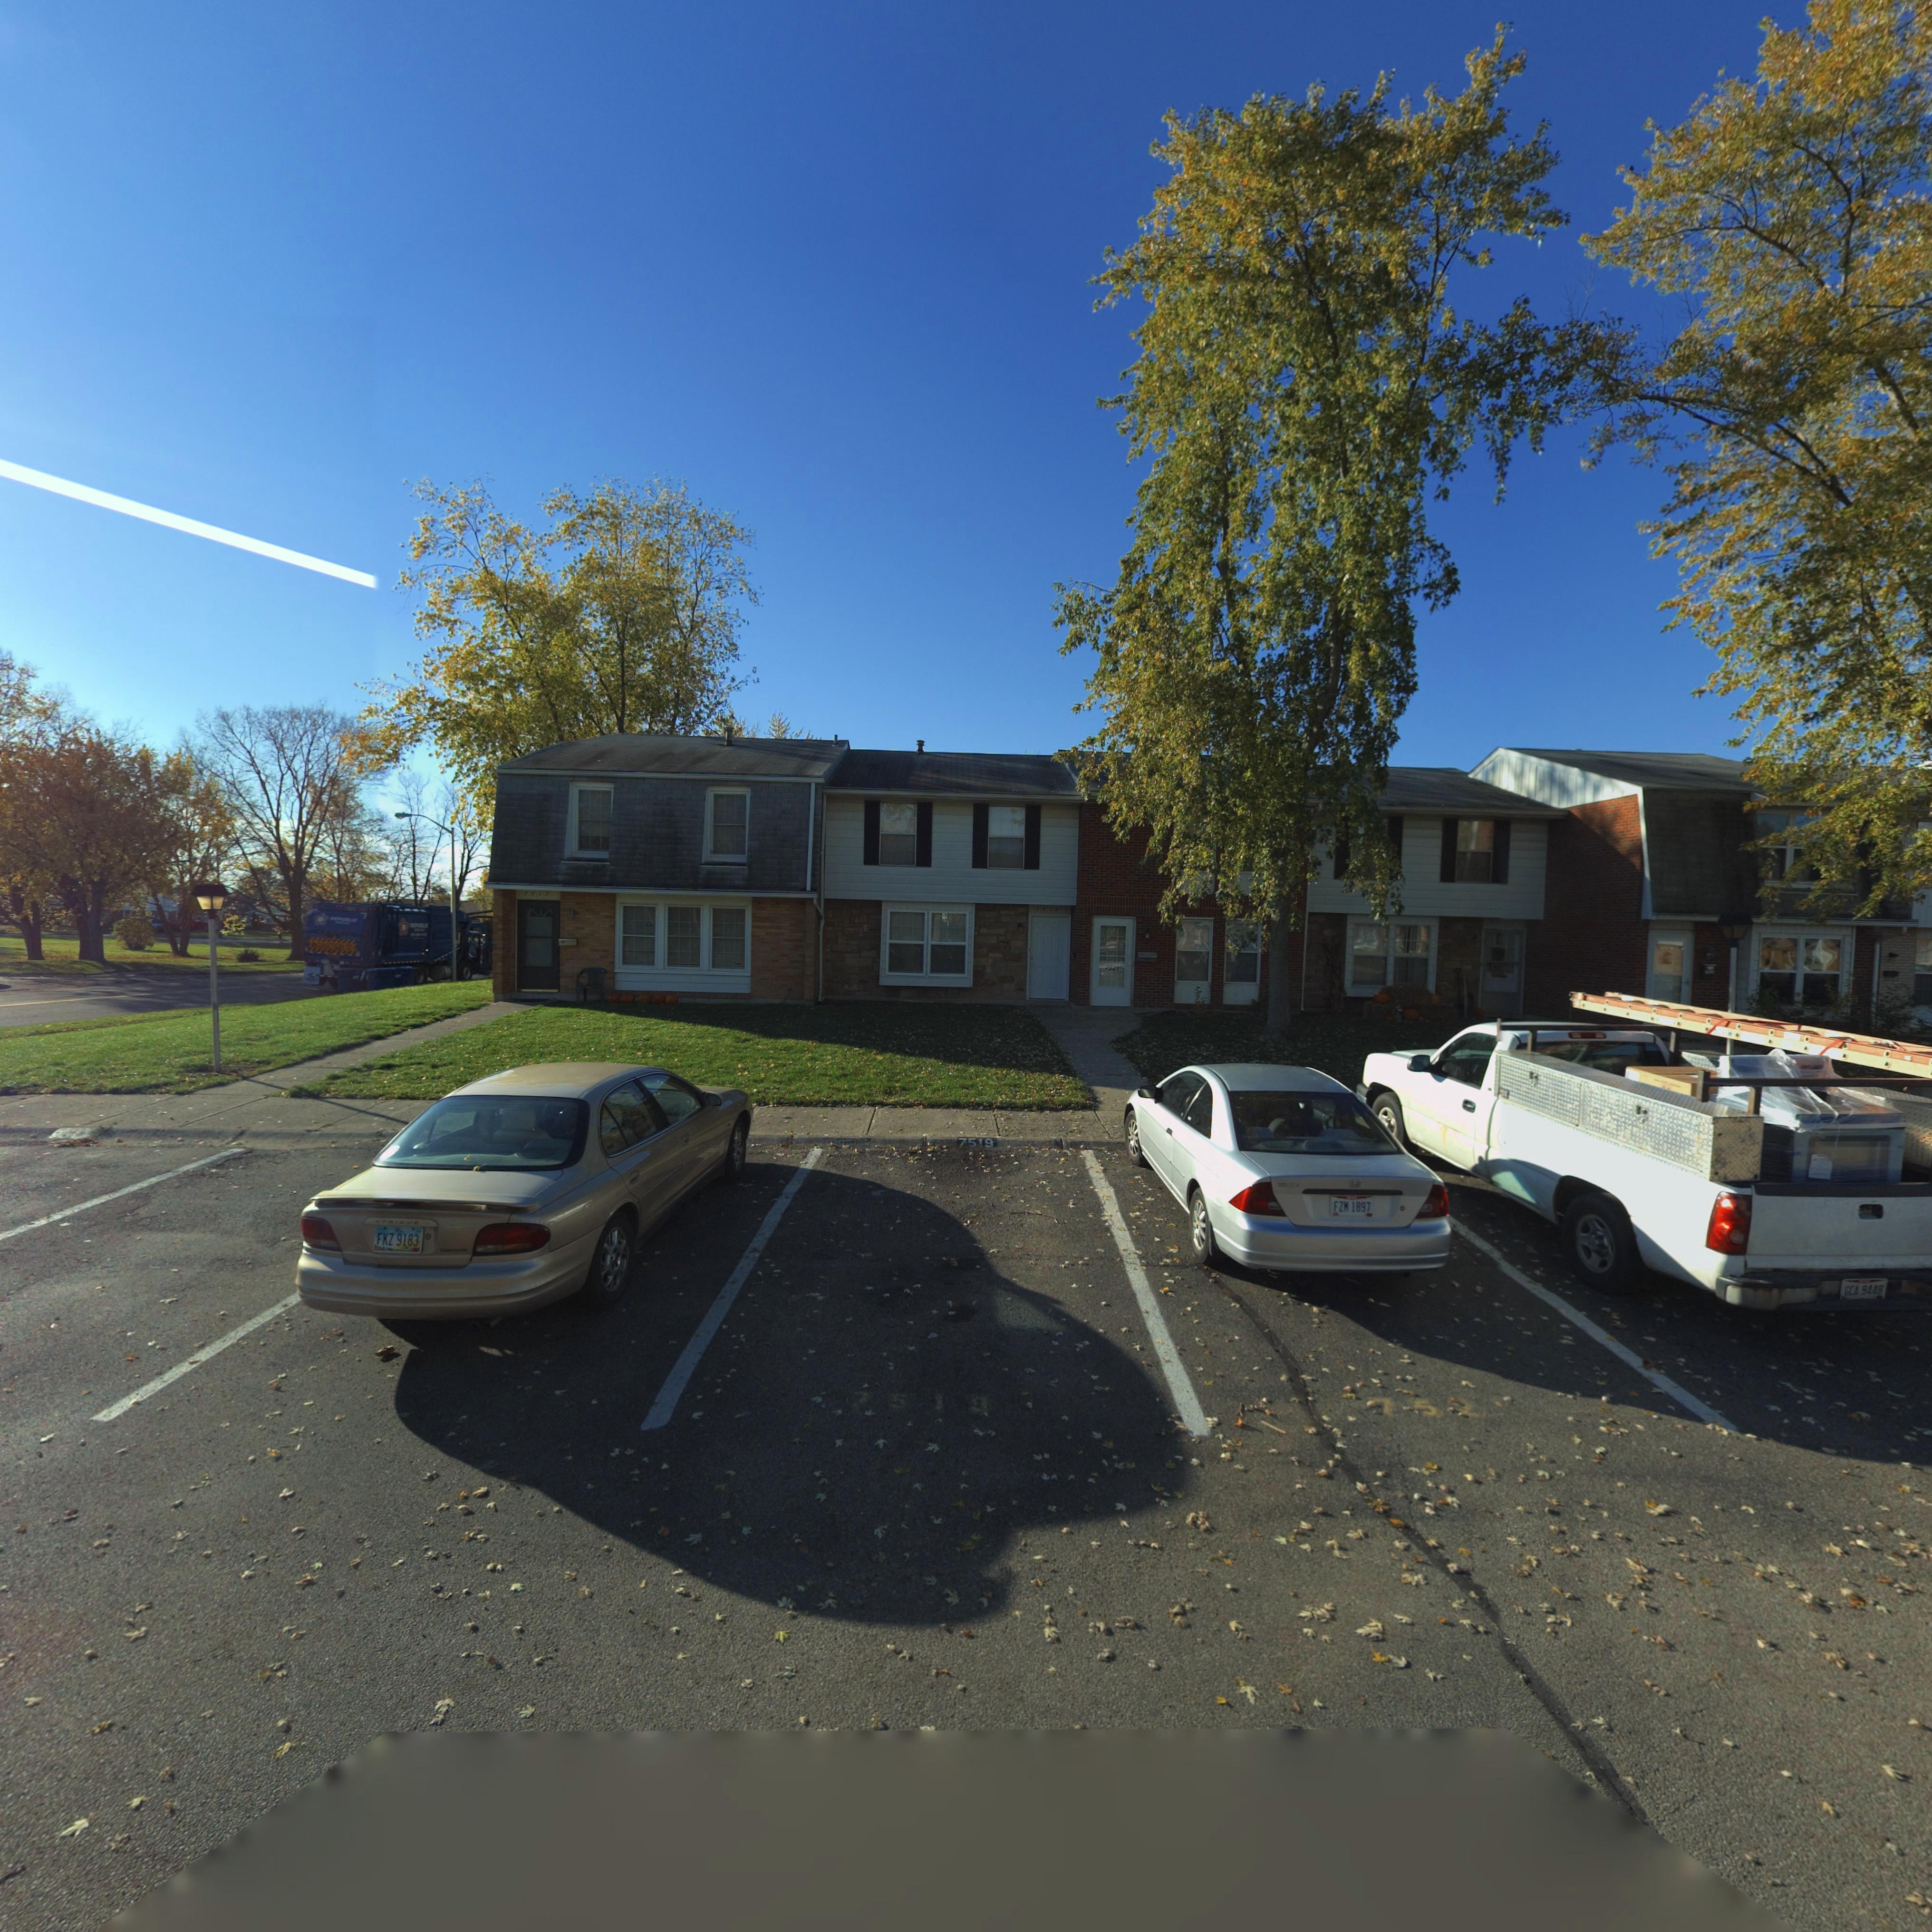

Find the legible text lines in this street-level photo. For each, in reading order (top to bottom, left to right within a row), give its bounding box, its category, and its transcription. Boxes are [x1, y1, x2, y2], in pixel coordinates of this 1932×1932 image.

[523, 890, 550, 897] StreetNumber: 7517
[1036, 906, 1059, 912] StreetNumber: 7519
[1104, 965, 1120, 971] StreetNumber: 7521
[74, 1127, 96, 1140] StreetNumber: 5
[957, 1137, 995, 1148] StreetNumber: 7519
[852, 1387, 992, 1416] StreetNumber: 7519
[1367, 1396, 1482, 1420] StreetNumber: 752